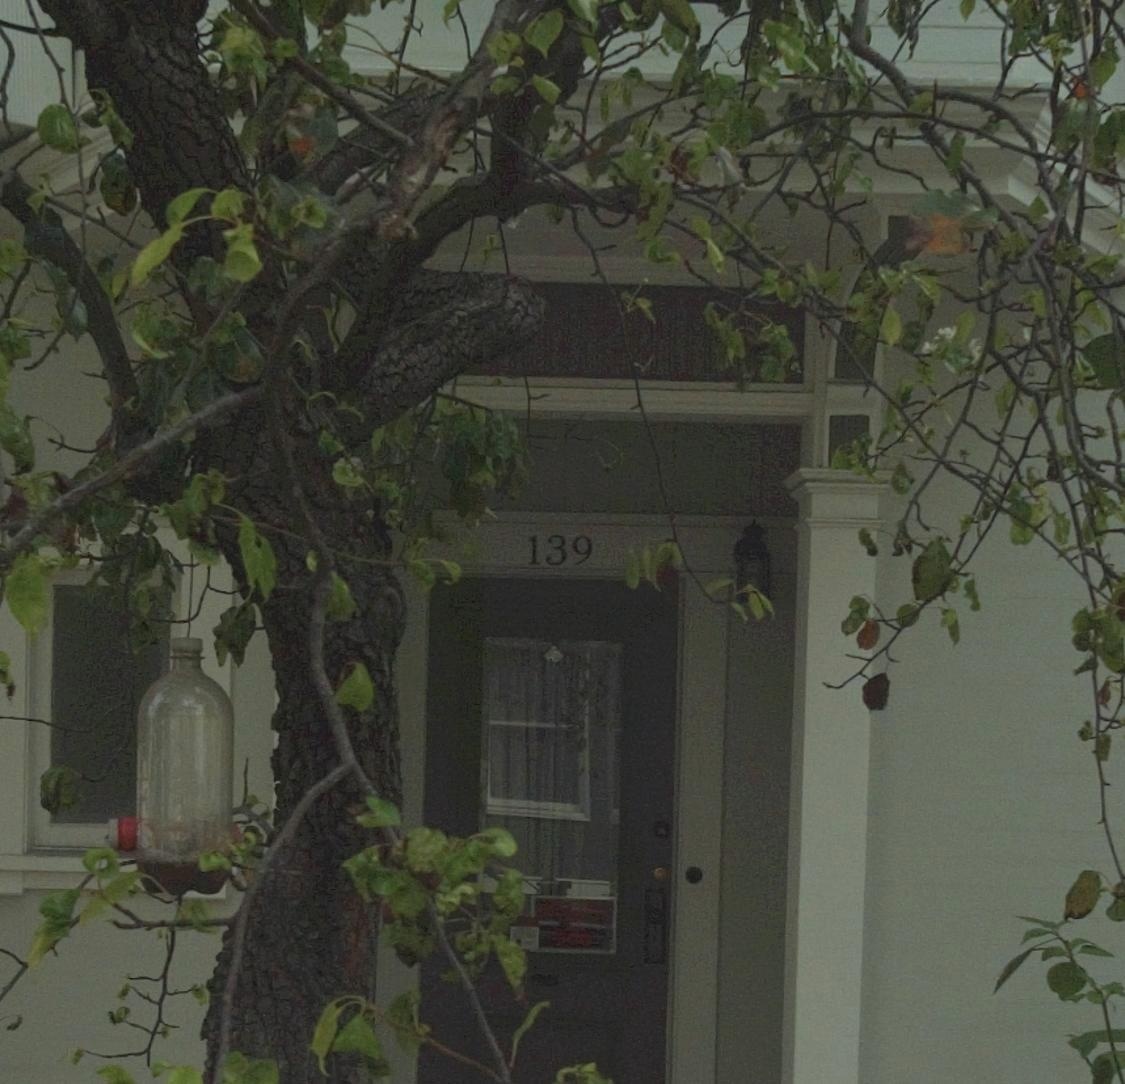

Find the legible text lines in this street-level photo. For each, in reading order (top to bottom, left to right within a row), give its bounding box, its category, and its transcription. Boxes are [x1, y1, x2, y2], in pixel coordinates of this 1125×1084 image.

[526, 532, 595, 567] StreetNumber: 139